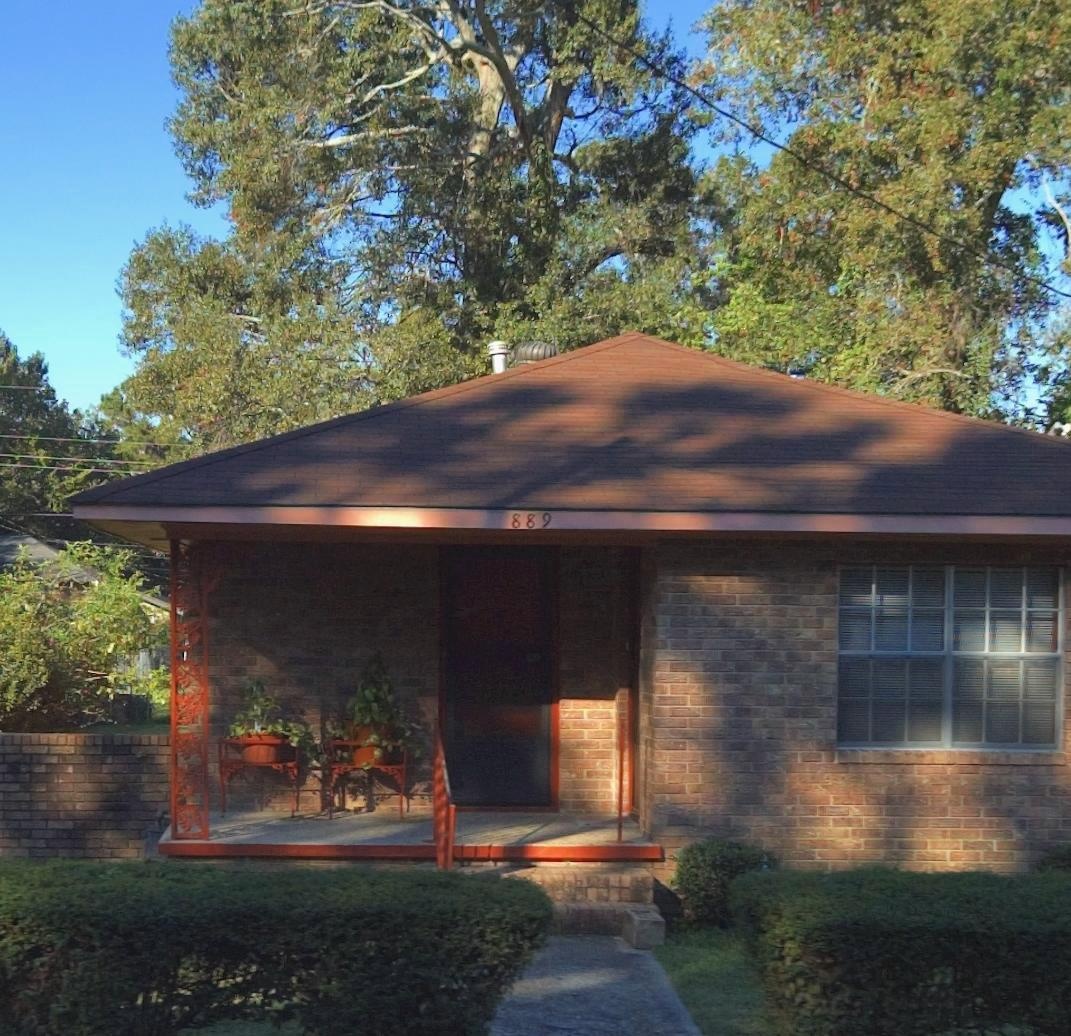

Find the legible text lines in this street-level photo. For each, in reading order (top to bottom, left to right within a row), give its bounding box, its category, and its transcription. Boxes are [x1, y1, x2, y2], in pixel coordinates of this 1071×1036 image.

[510, 511, 553, 530] StreetNumber: 889